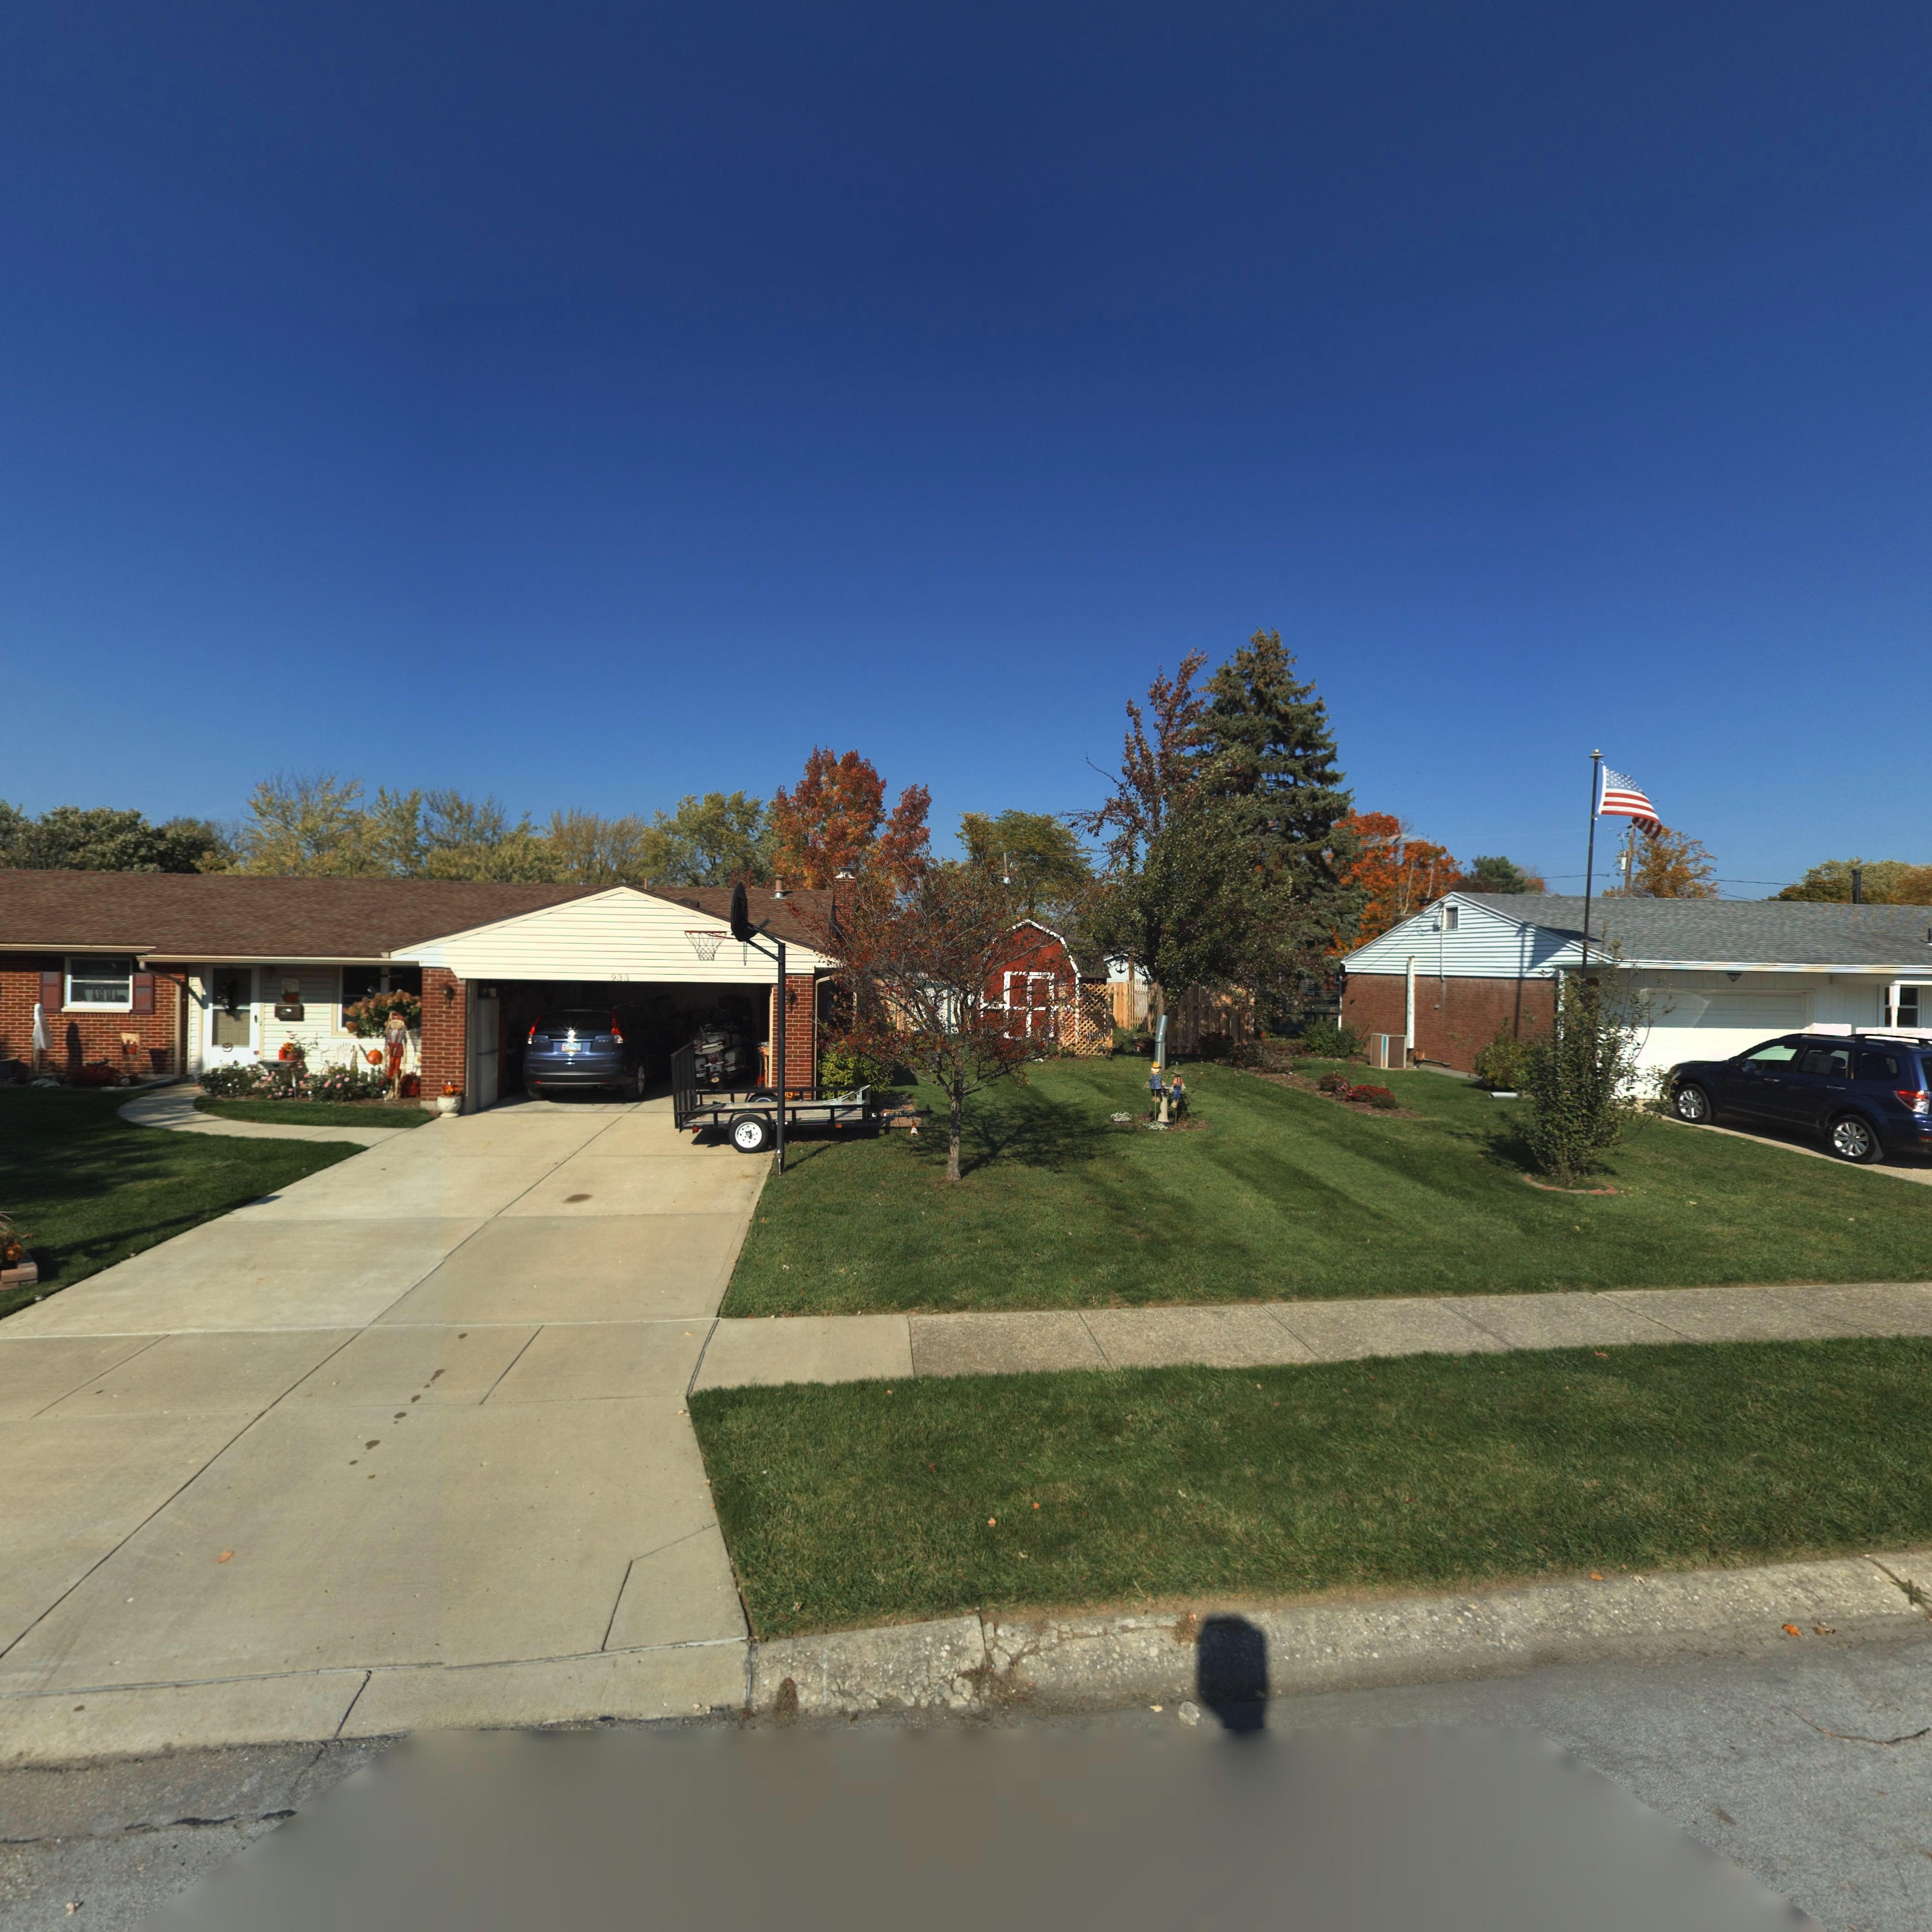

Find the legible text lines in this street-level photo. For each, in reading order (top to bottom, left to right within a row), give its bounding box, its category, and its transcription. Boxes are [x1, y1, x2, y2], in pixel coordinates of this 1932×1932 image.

[609, 972, 630, 983] StreetNumber: 933